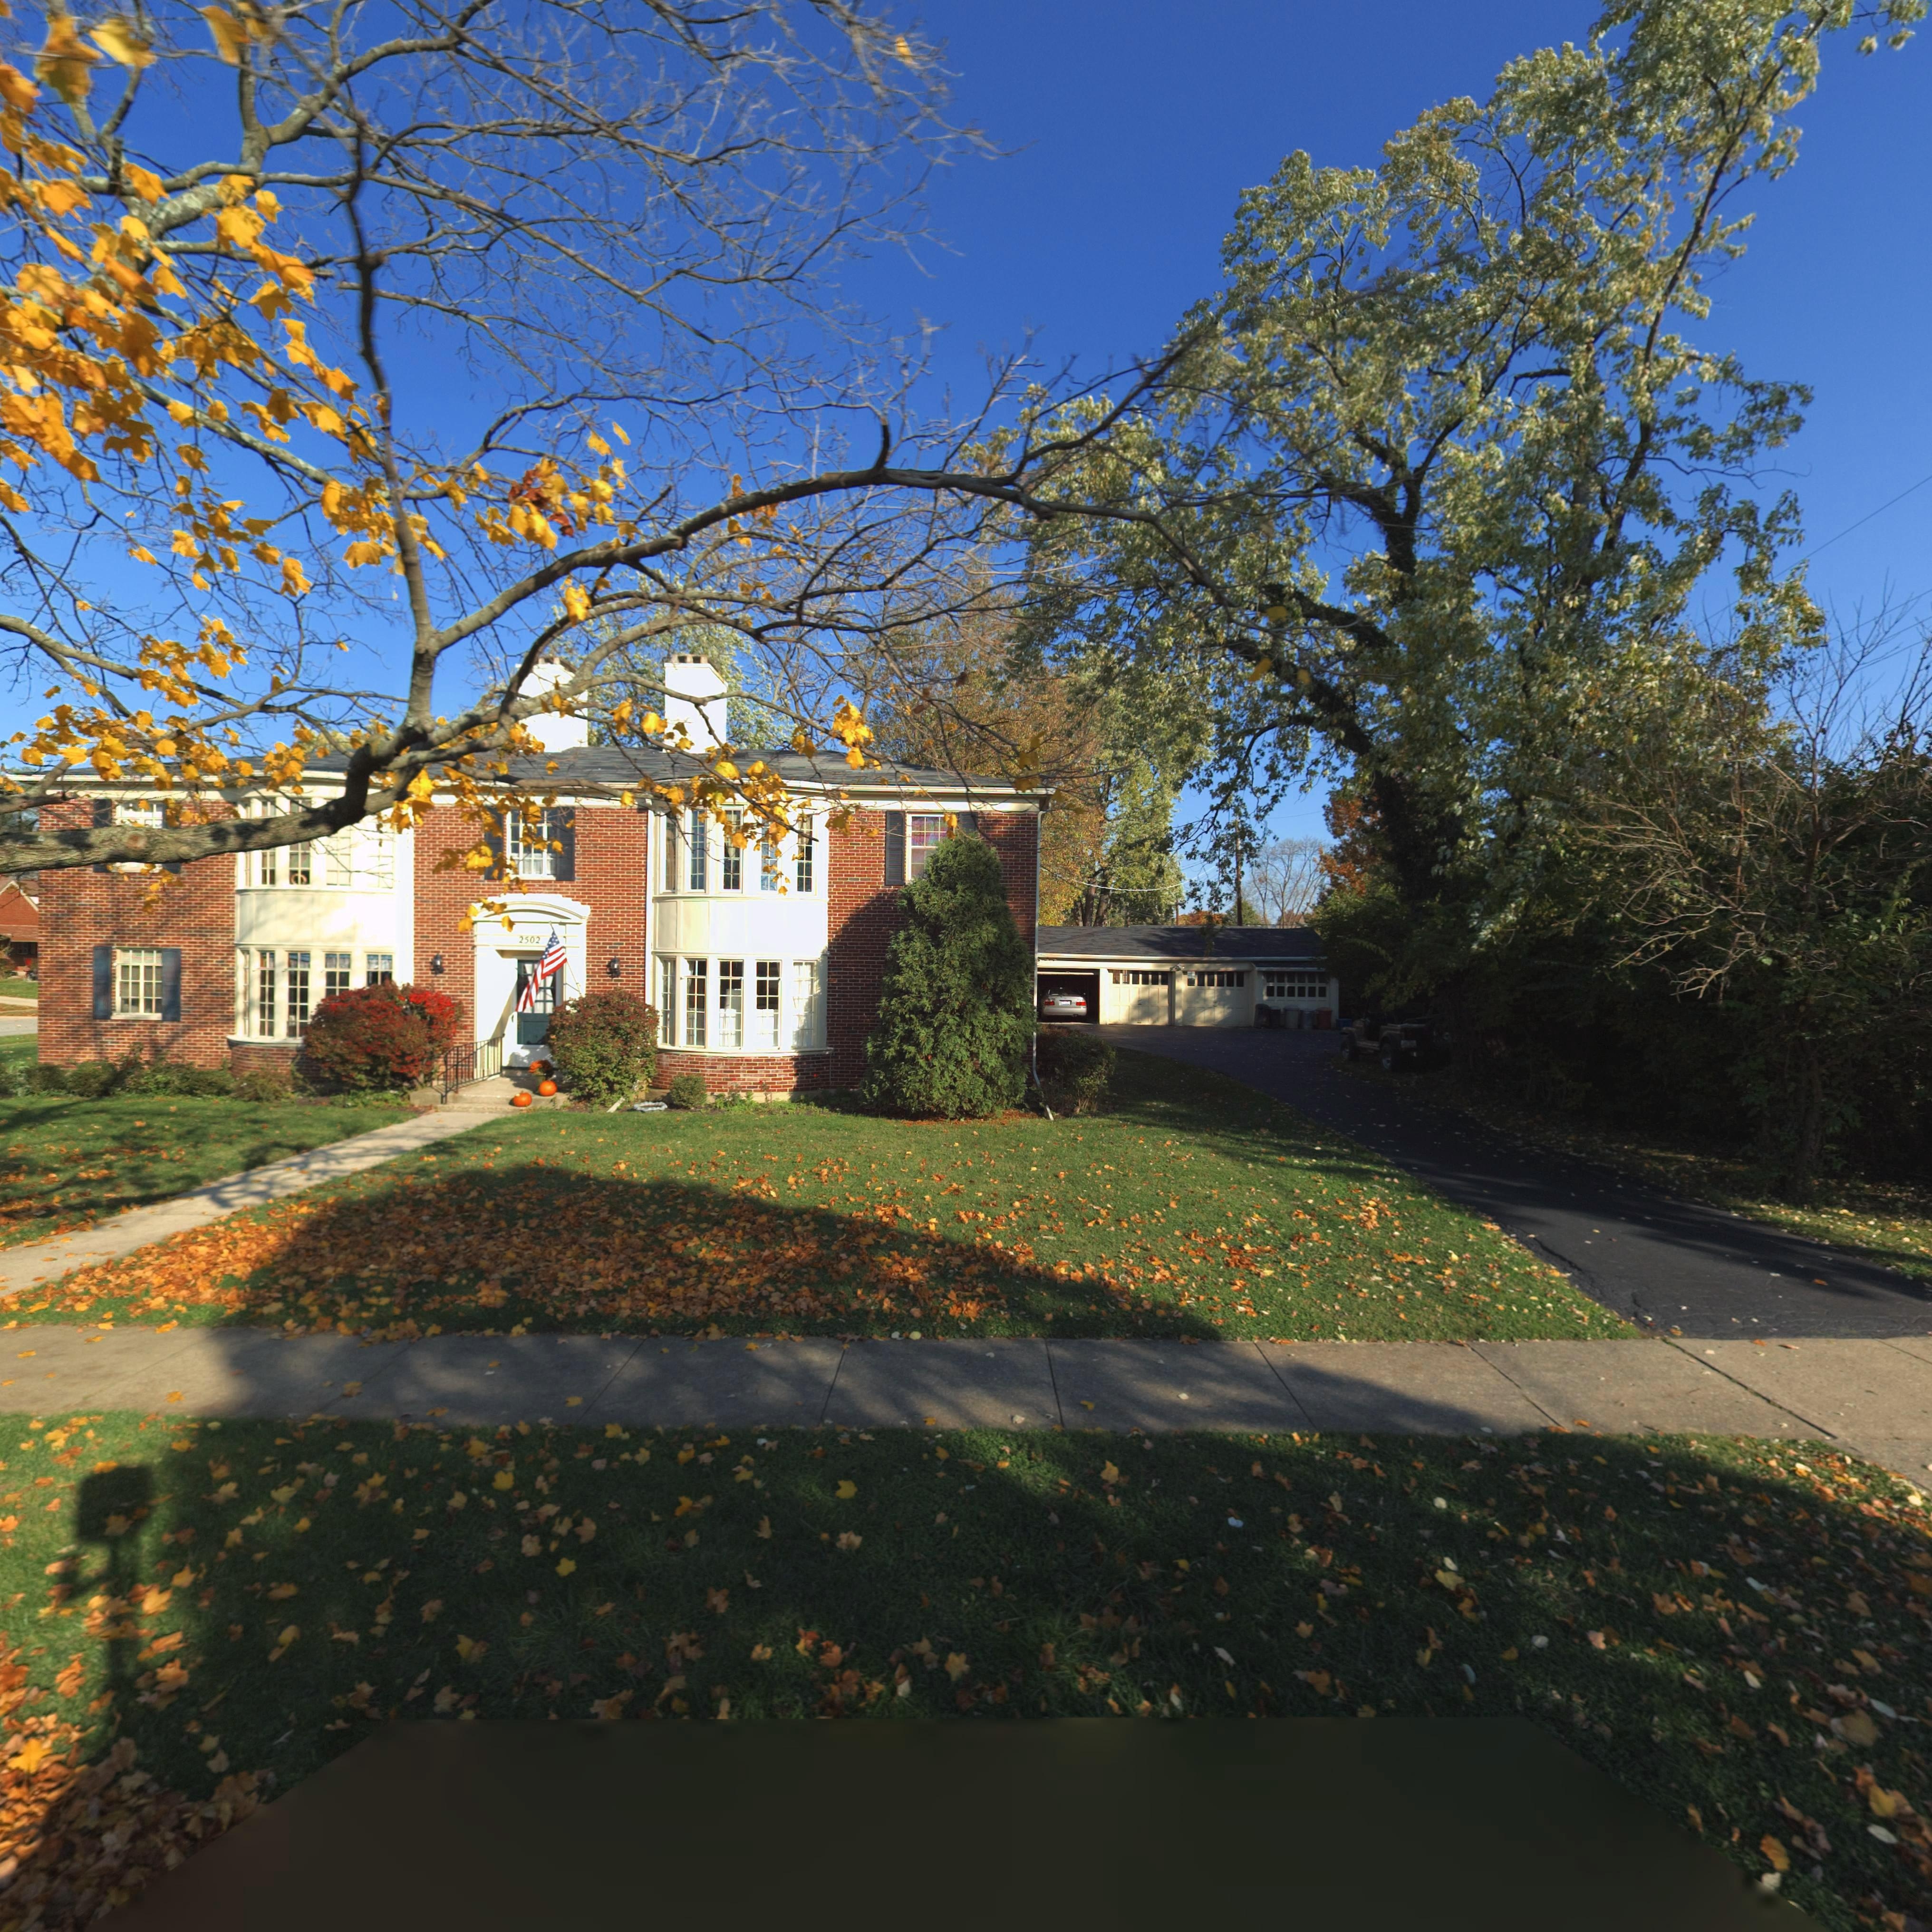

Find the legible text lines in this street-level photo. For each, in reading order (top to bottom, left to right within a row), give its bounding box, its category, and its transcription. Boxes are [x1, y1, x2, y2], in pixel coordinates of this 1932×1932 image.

[517, 934, 541, 945] StreetNumber: 2502